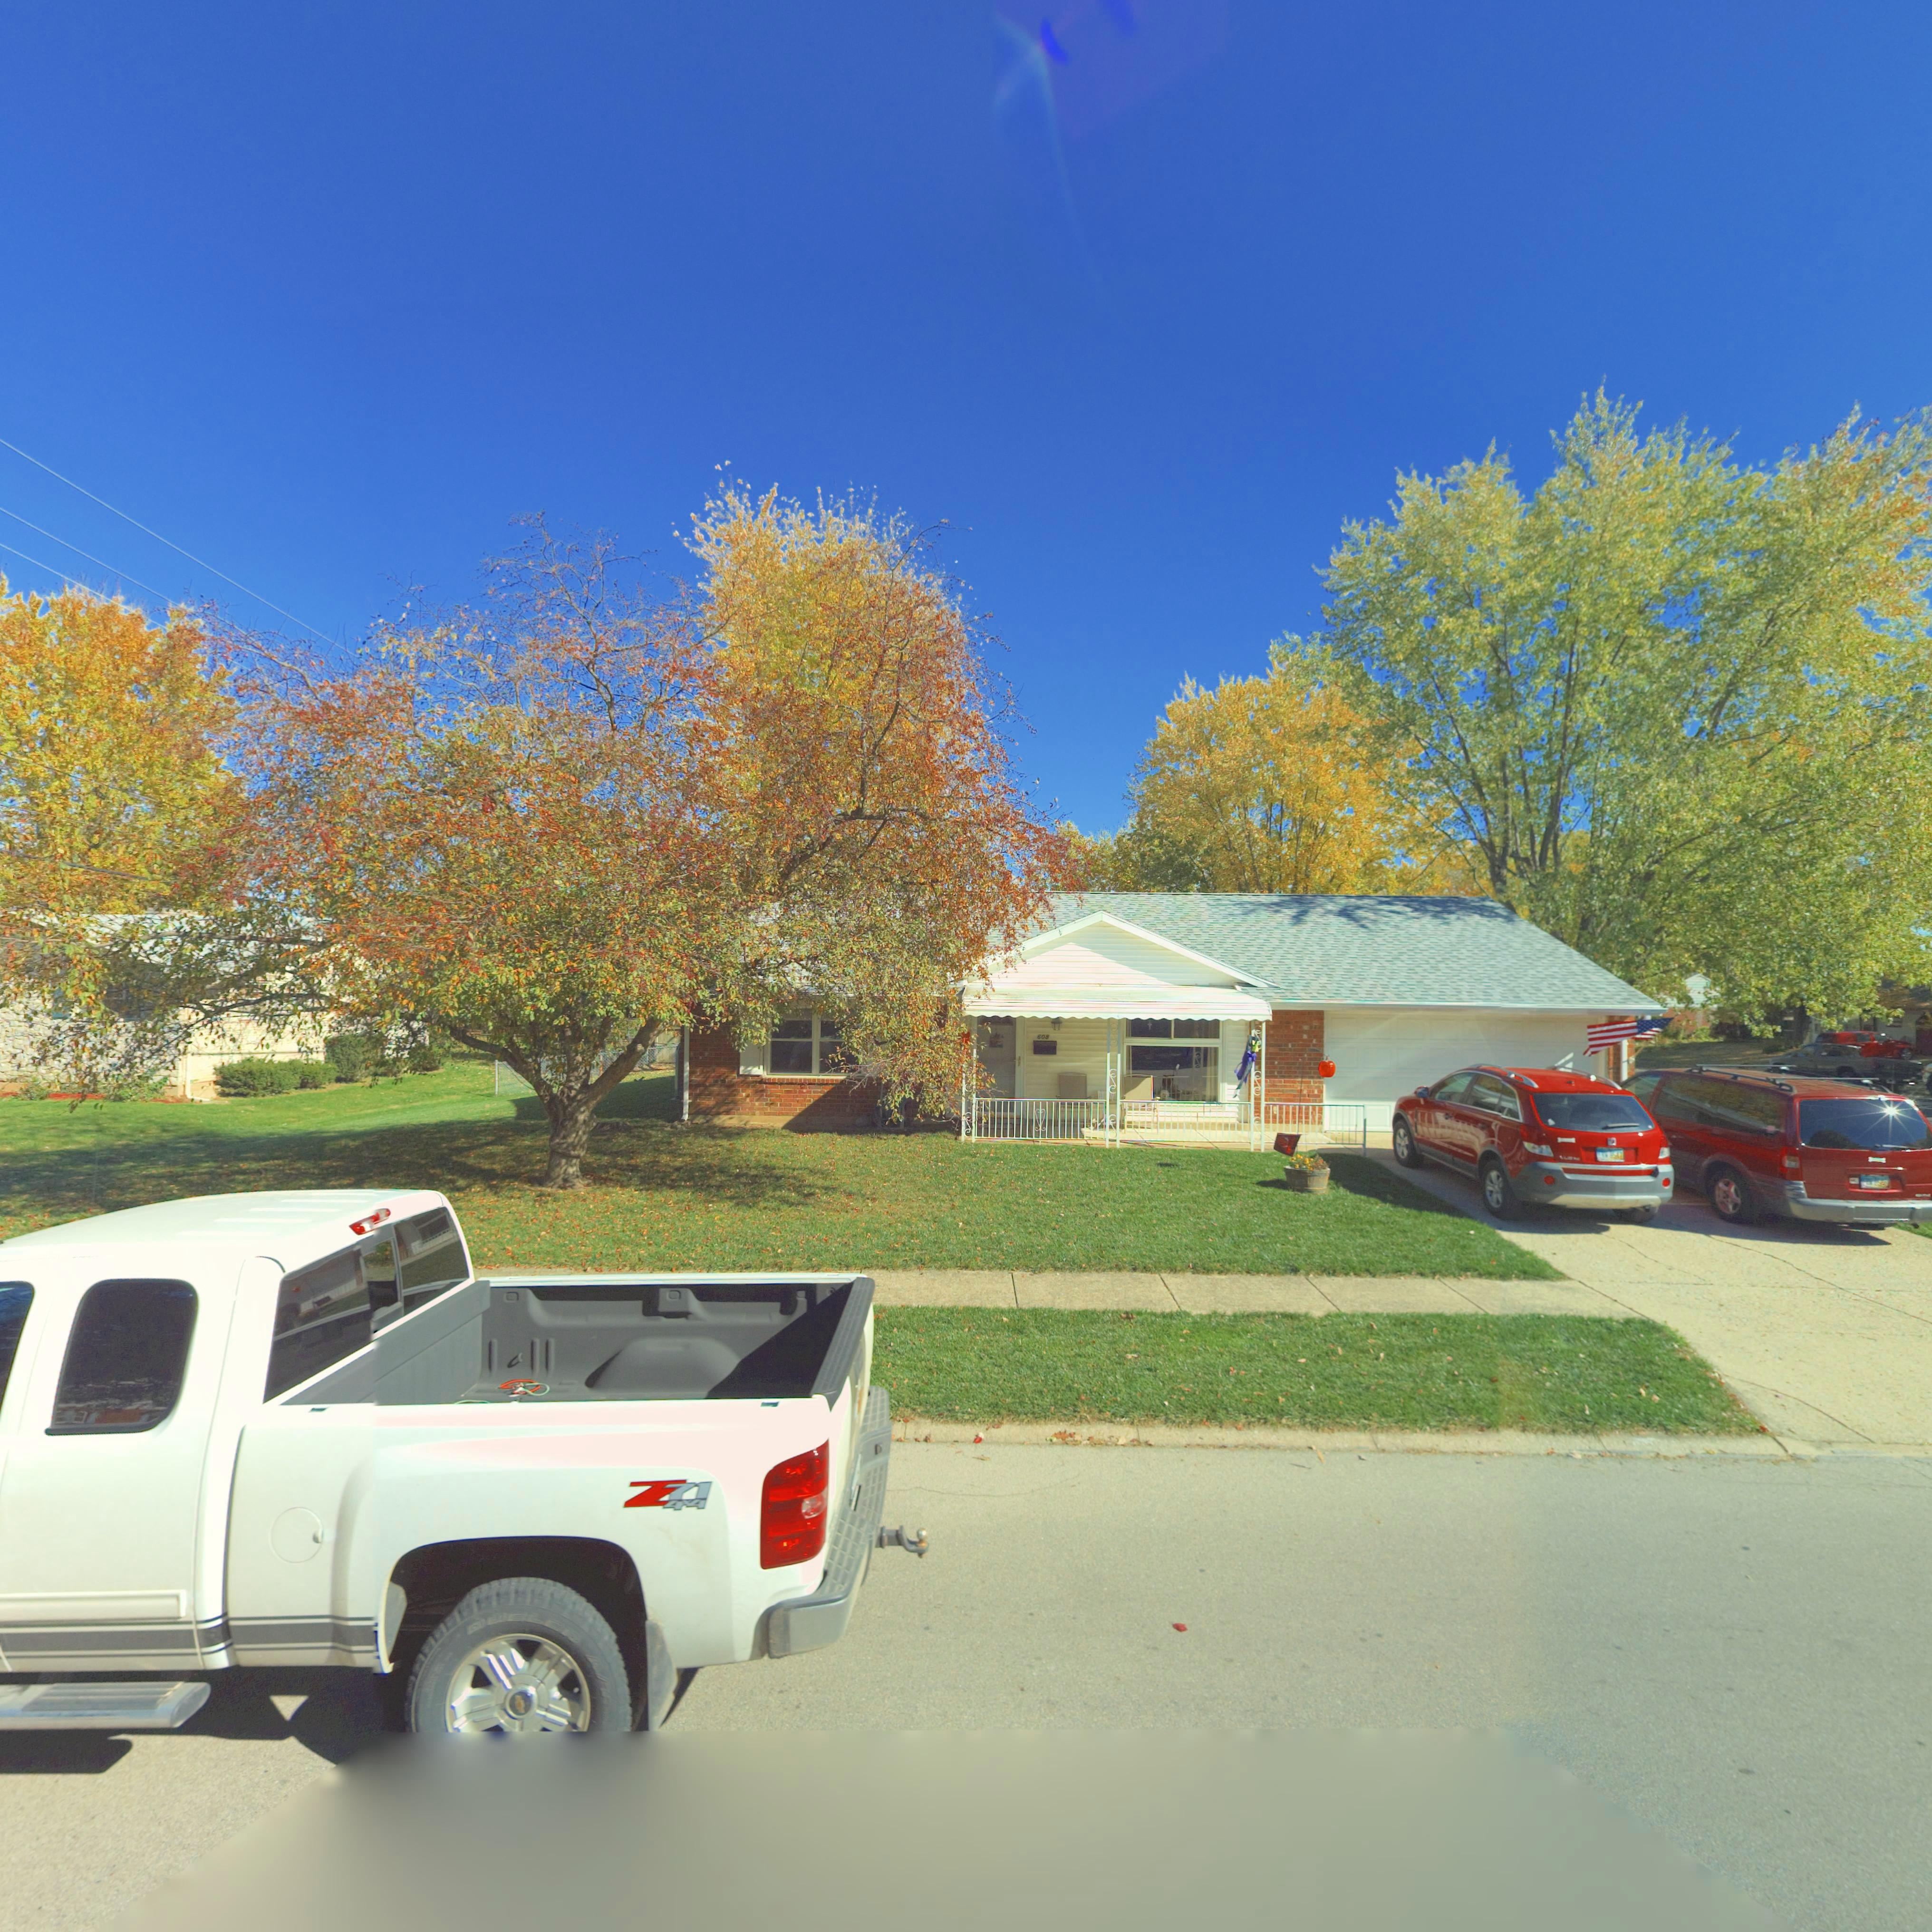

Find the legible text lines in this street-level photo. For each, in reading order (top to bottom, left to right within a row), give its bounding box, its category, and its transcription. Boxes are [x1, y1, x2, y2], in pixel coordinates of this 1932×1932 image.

[1037, 1034, 1050, 1040] StreetNumber: 608